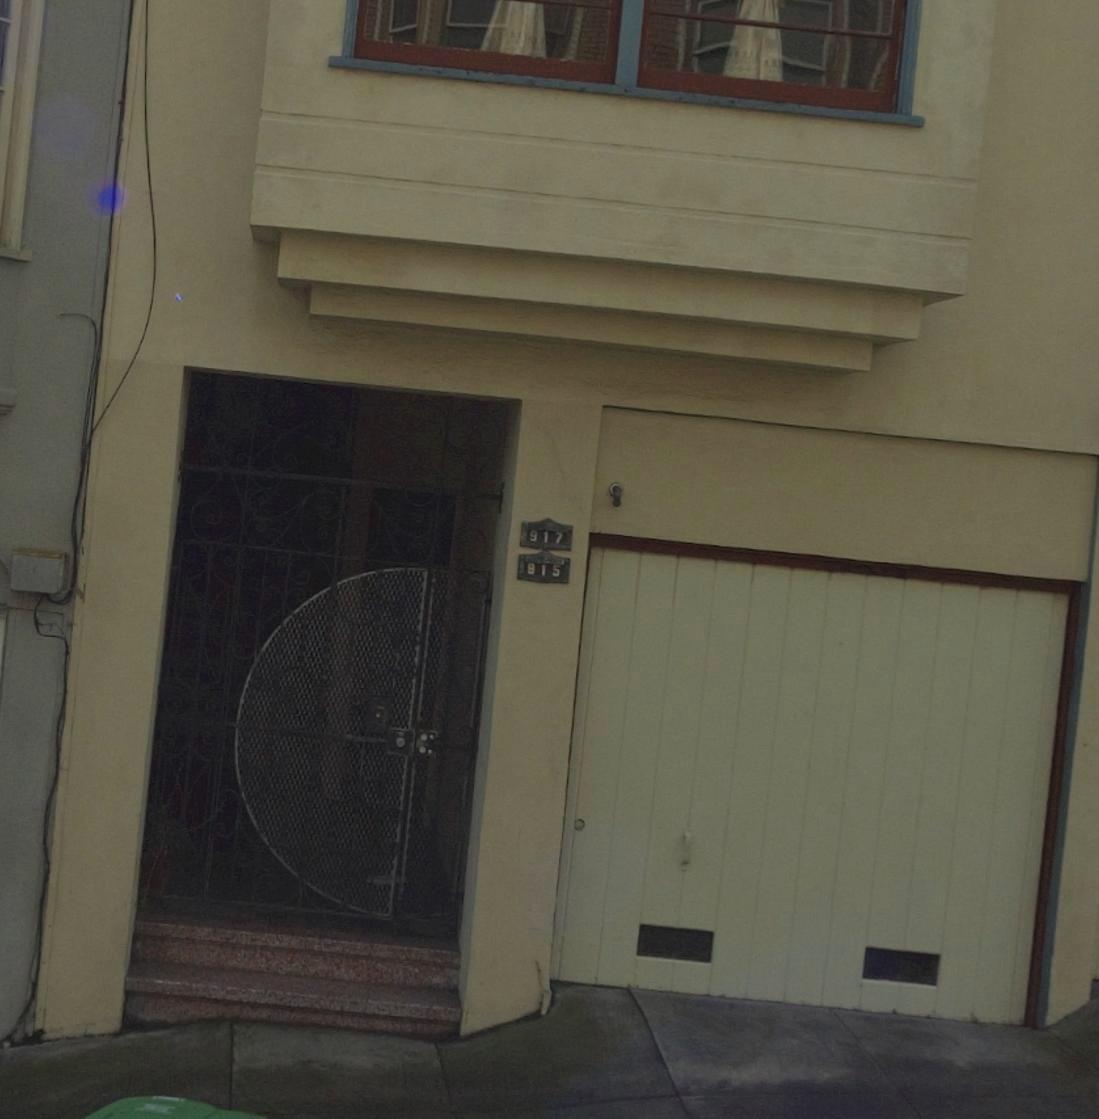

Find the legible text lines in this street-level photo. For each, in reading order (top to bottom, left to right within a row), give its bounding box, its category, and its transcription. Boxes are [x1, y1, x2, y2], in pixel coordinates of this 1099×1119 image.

[527, 527, 566, 547] StreetNumber: 917
[525, 559, 564, 581] StreetNumber: 915